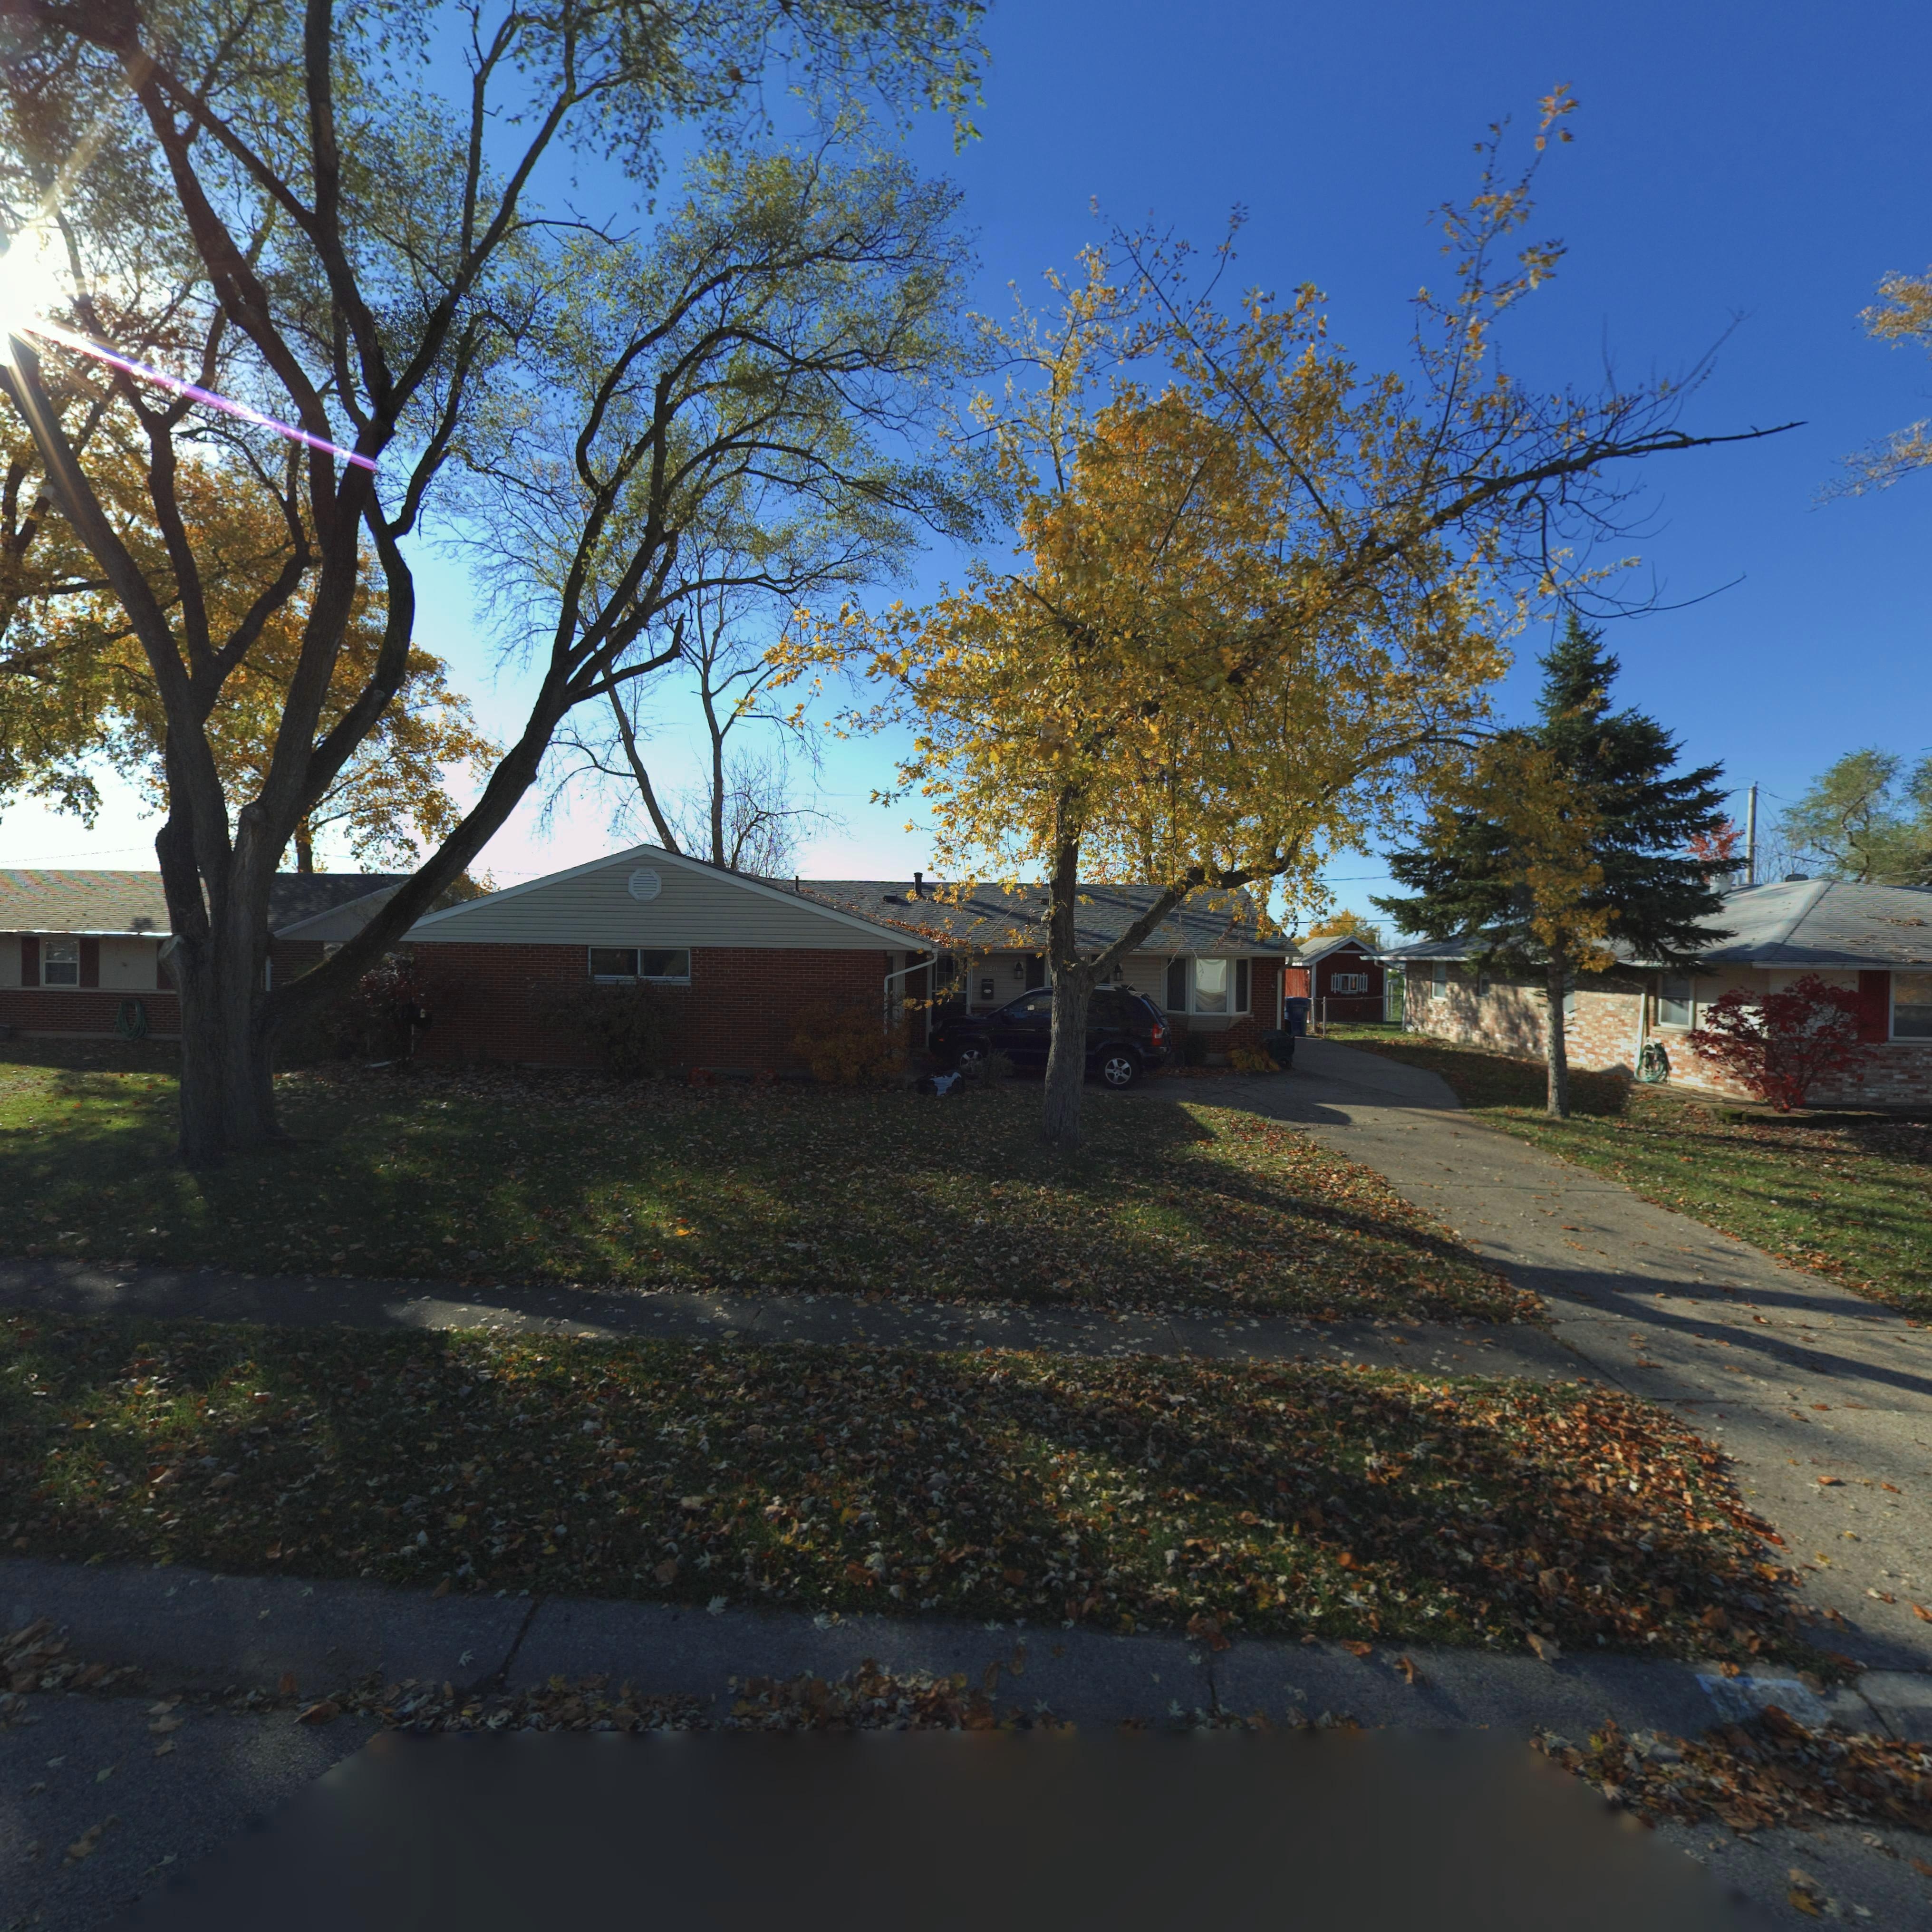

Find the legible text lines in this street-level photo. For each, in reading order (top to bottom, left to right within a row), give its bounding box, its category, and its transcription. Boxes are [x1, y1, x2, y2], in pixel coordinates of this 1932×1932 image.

[980, 965, 998, 972] StreetNumber: 6120
[1713, 1683, 1749, 1714] StreetNumber: 6